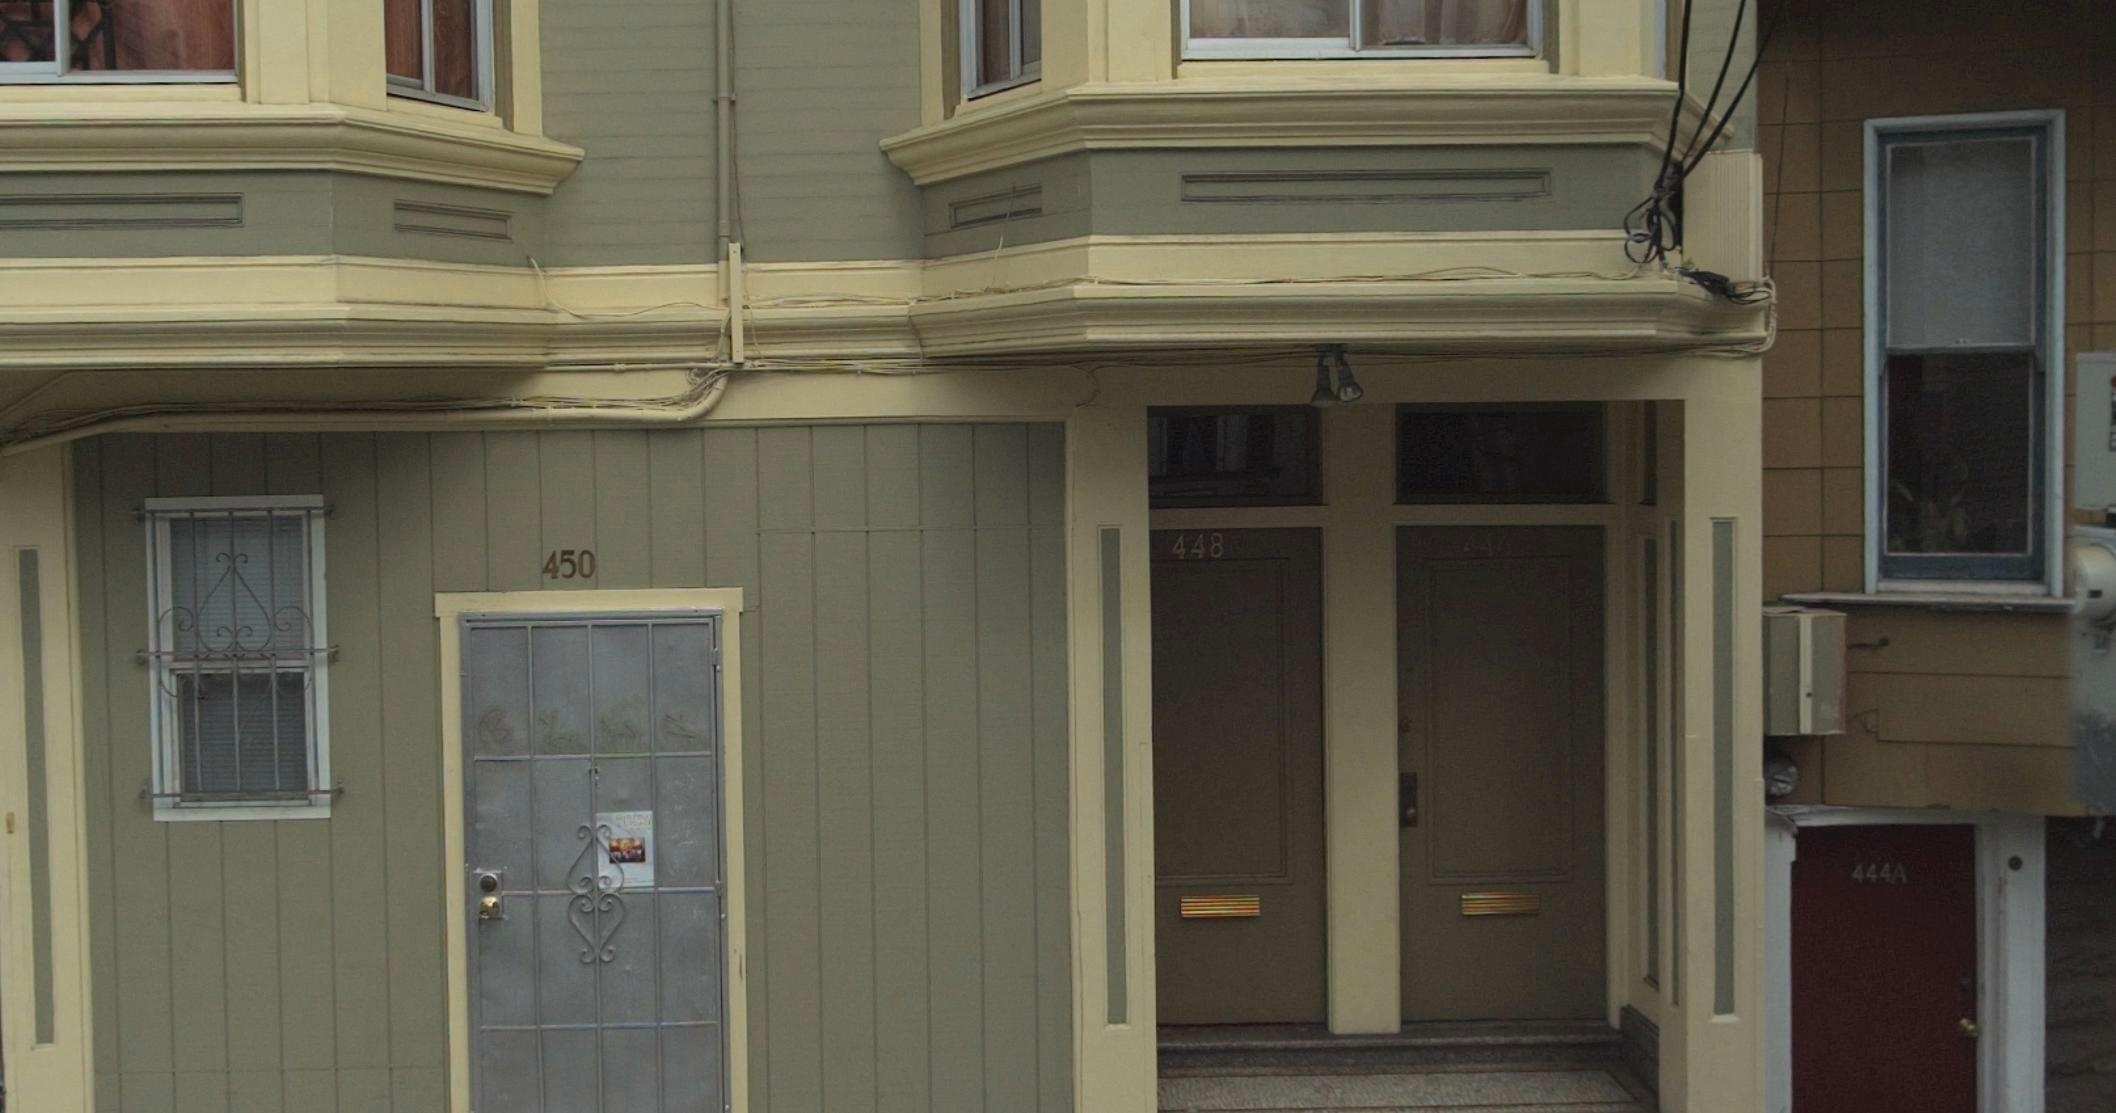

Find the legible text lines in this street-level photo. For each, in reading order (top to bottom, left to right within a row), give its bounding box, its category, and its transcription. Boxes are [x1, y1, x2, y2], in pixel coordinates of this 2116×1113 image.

[1169, 531, 1226, 561] StreetNumber: 448
[1461, 532, 1514, 560] StreetNumber: 44*
[540, 547, 597, 582] StreetNumber: 450
[1850, 860, 1910, 887] StreetNumber: 444A